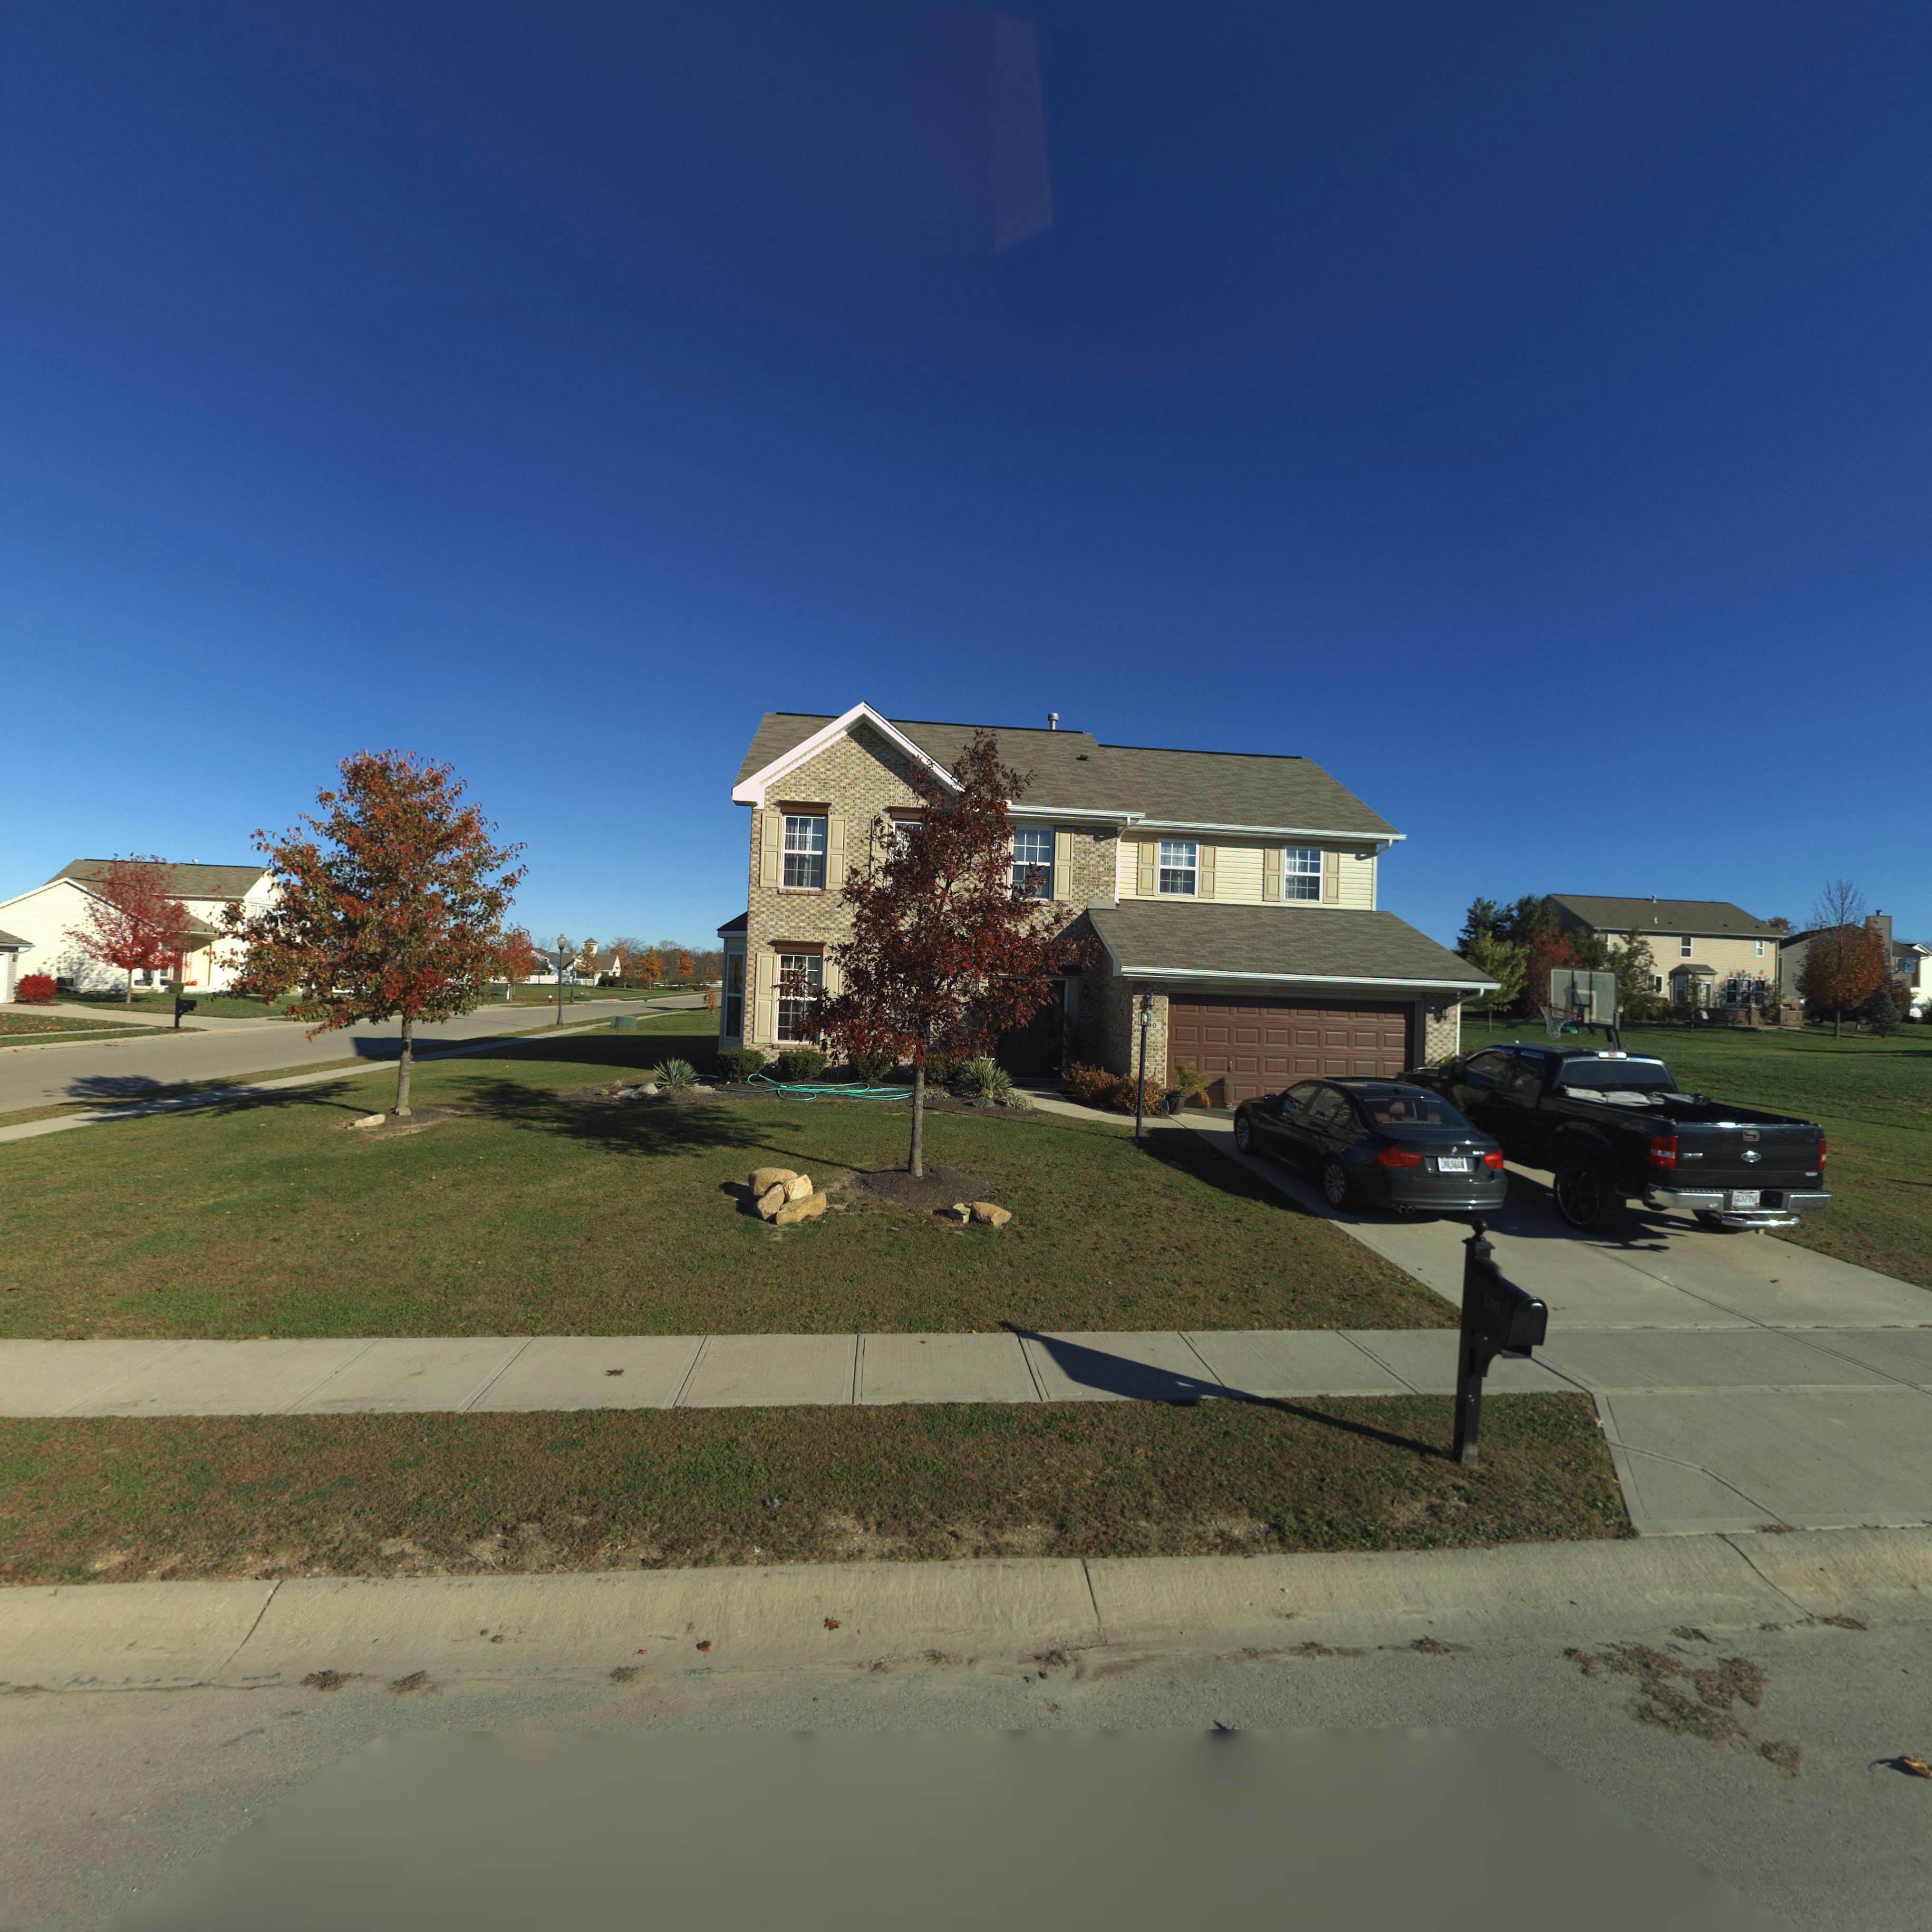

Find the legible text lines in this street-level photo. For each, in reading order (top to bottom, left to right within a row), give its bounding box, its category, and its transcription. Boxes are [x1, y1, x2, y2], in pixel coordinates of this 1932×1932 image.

[1147, 1022, 1157, 1029] StreetNumber: 00
[1733, 1193, 1759, 1204] None: *** 2751
[1483, 1291, 1502, 1319] StreetNumber: 100